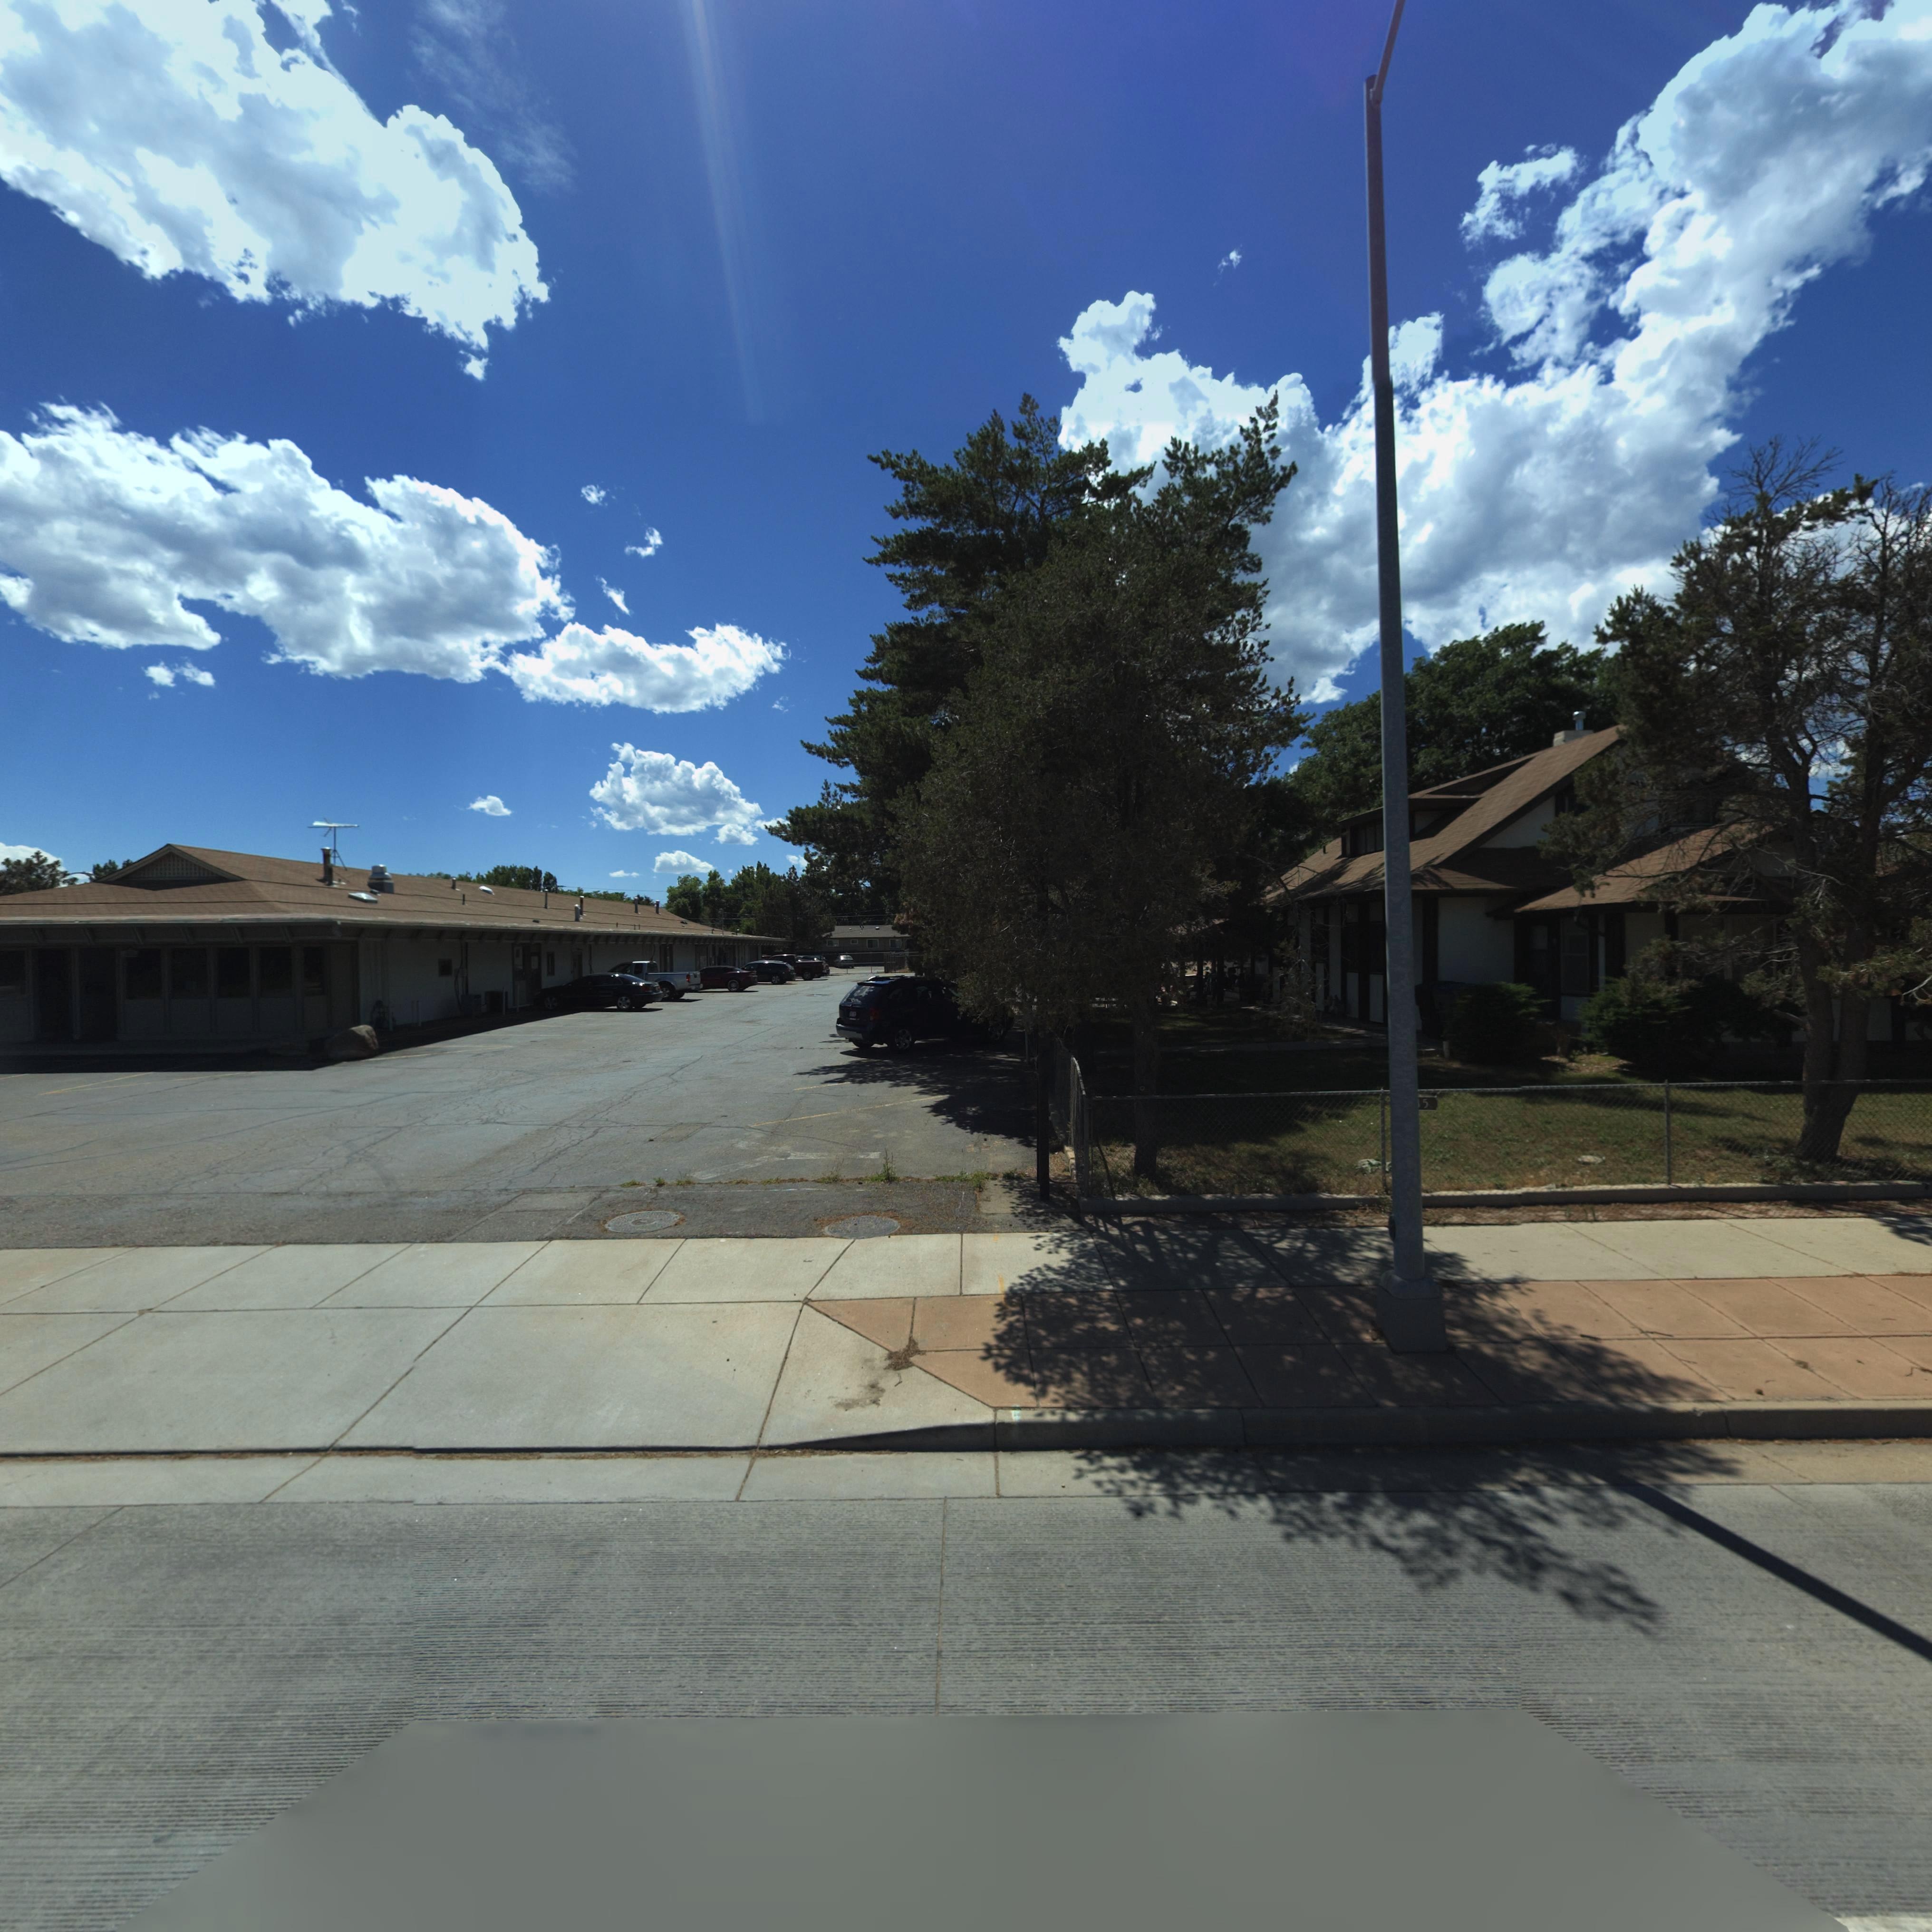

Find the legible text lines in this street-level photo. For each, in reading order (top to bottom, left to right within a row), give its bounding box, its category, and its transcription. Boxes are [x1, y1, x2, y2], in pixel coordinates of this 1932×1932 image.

[1422, 1097, 1429, 1109] StreetNumber: 5